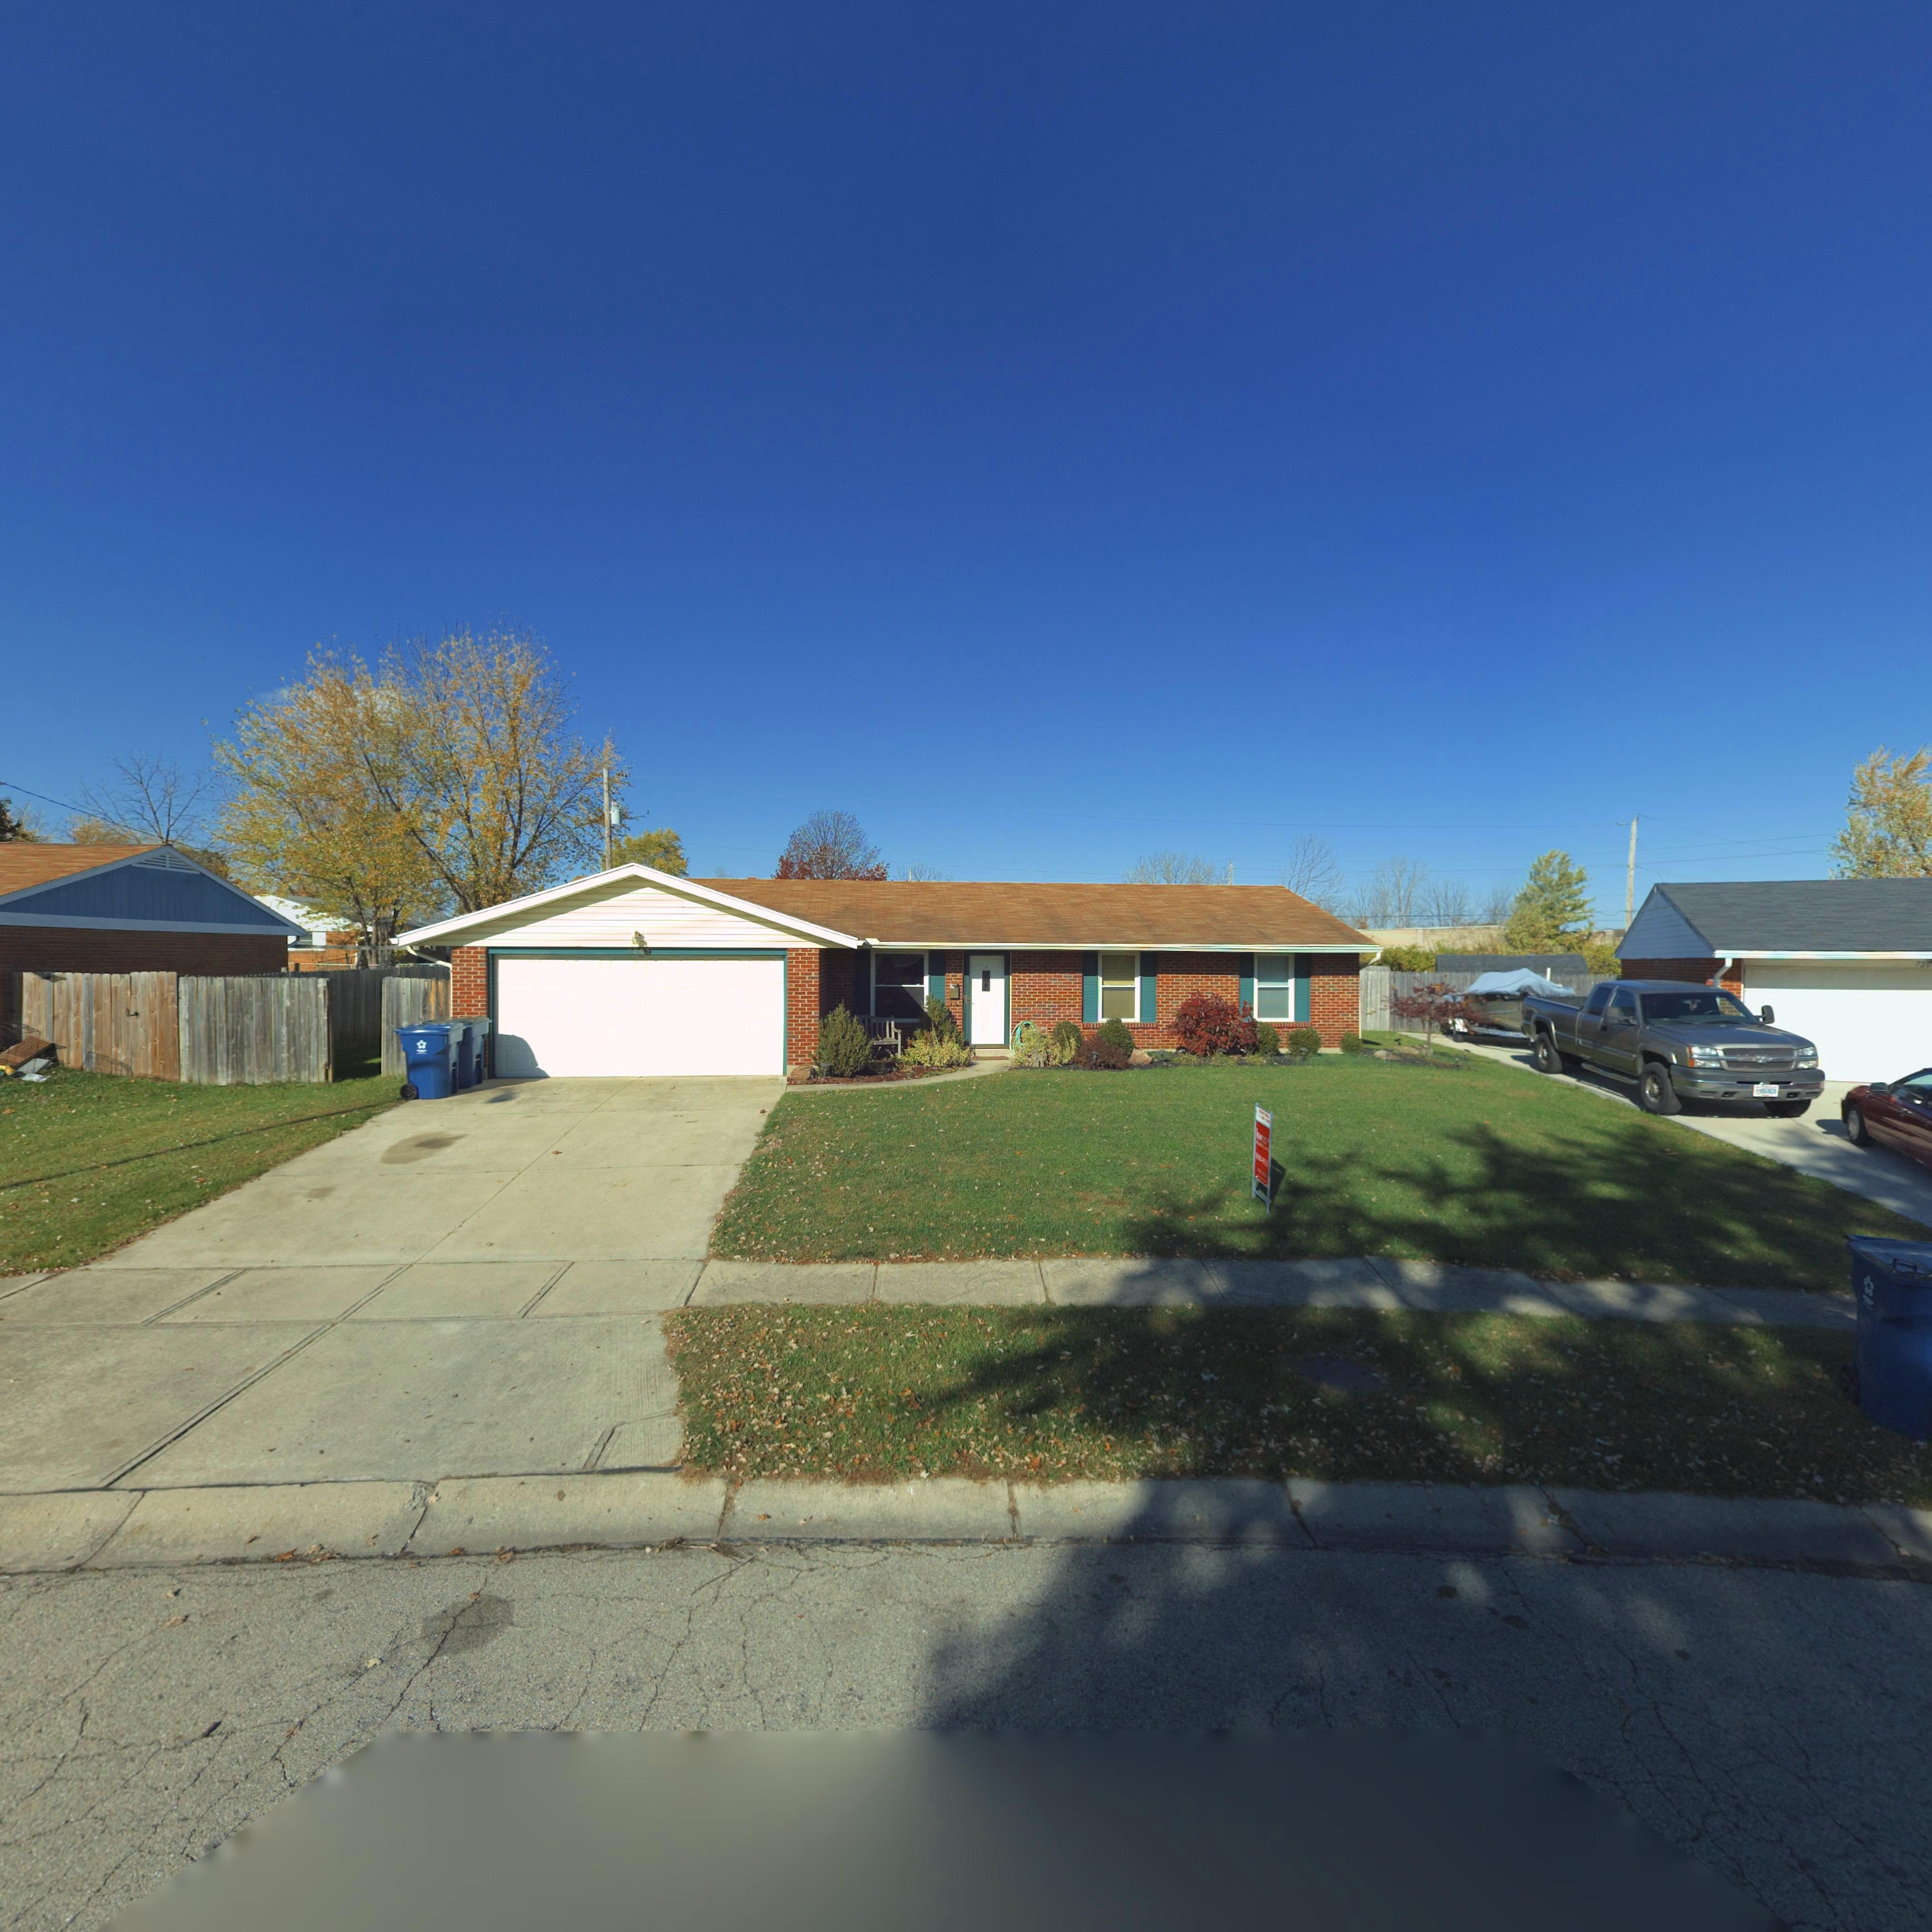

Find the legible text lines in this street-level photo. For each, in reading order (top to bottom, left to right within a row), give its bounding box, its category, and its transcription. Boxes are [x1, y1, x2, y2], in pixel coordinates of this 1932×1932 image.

[626, 947, 651, 956] StreetNumber: 720*
[1914, 960, 1932, 969] StreetNumber: *2*